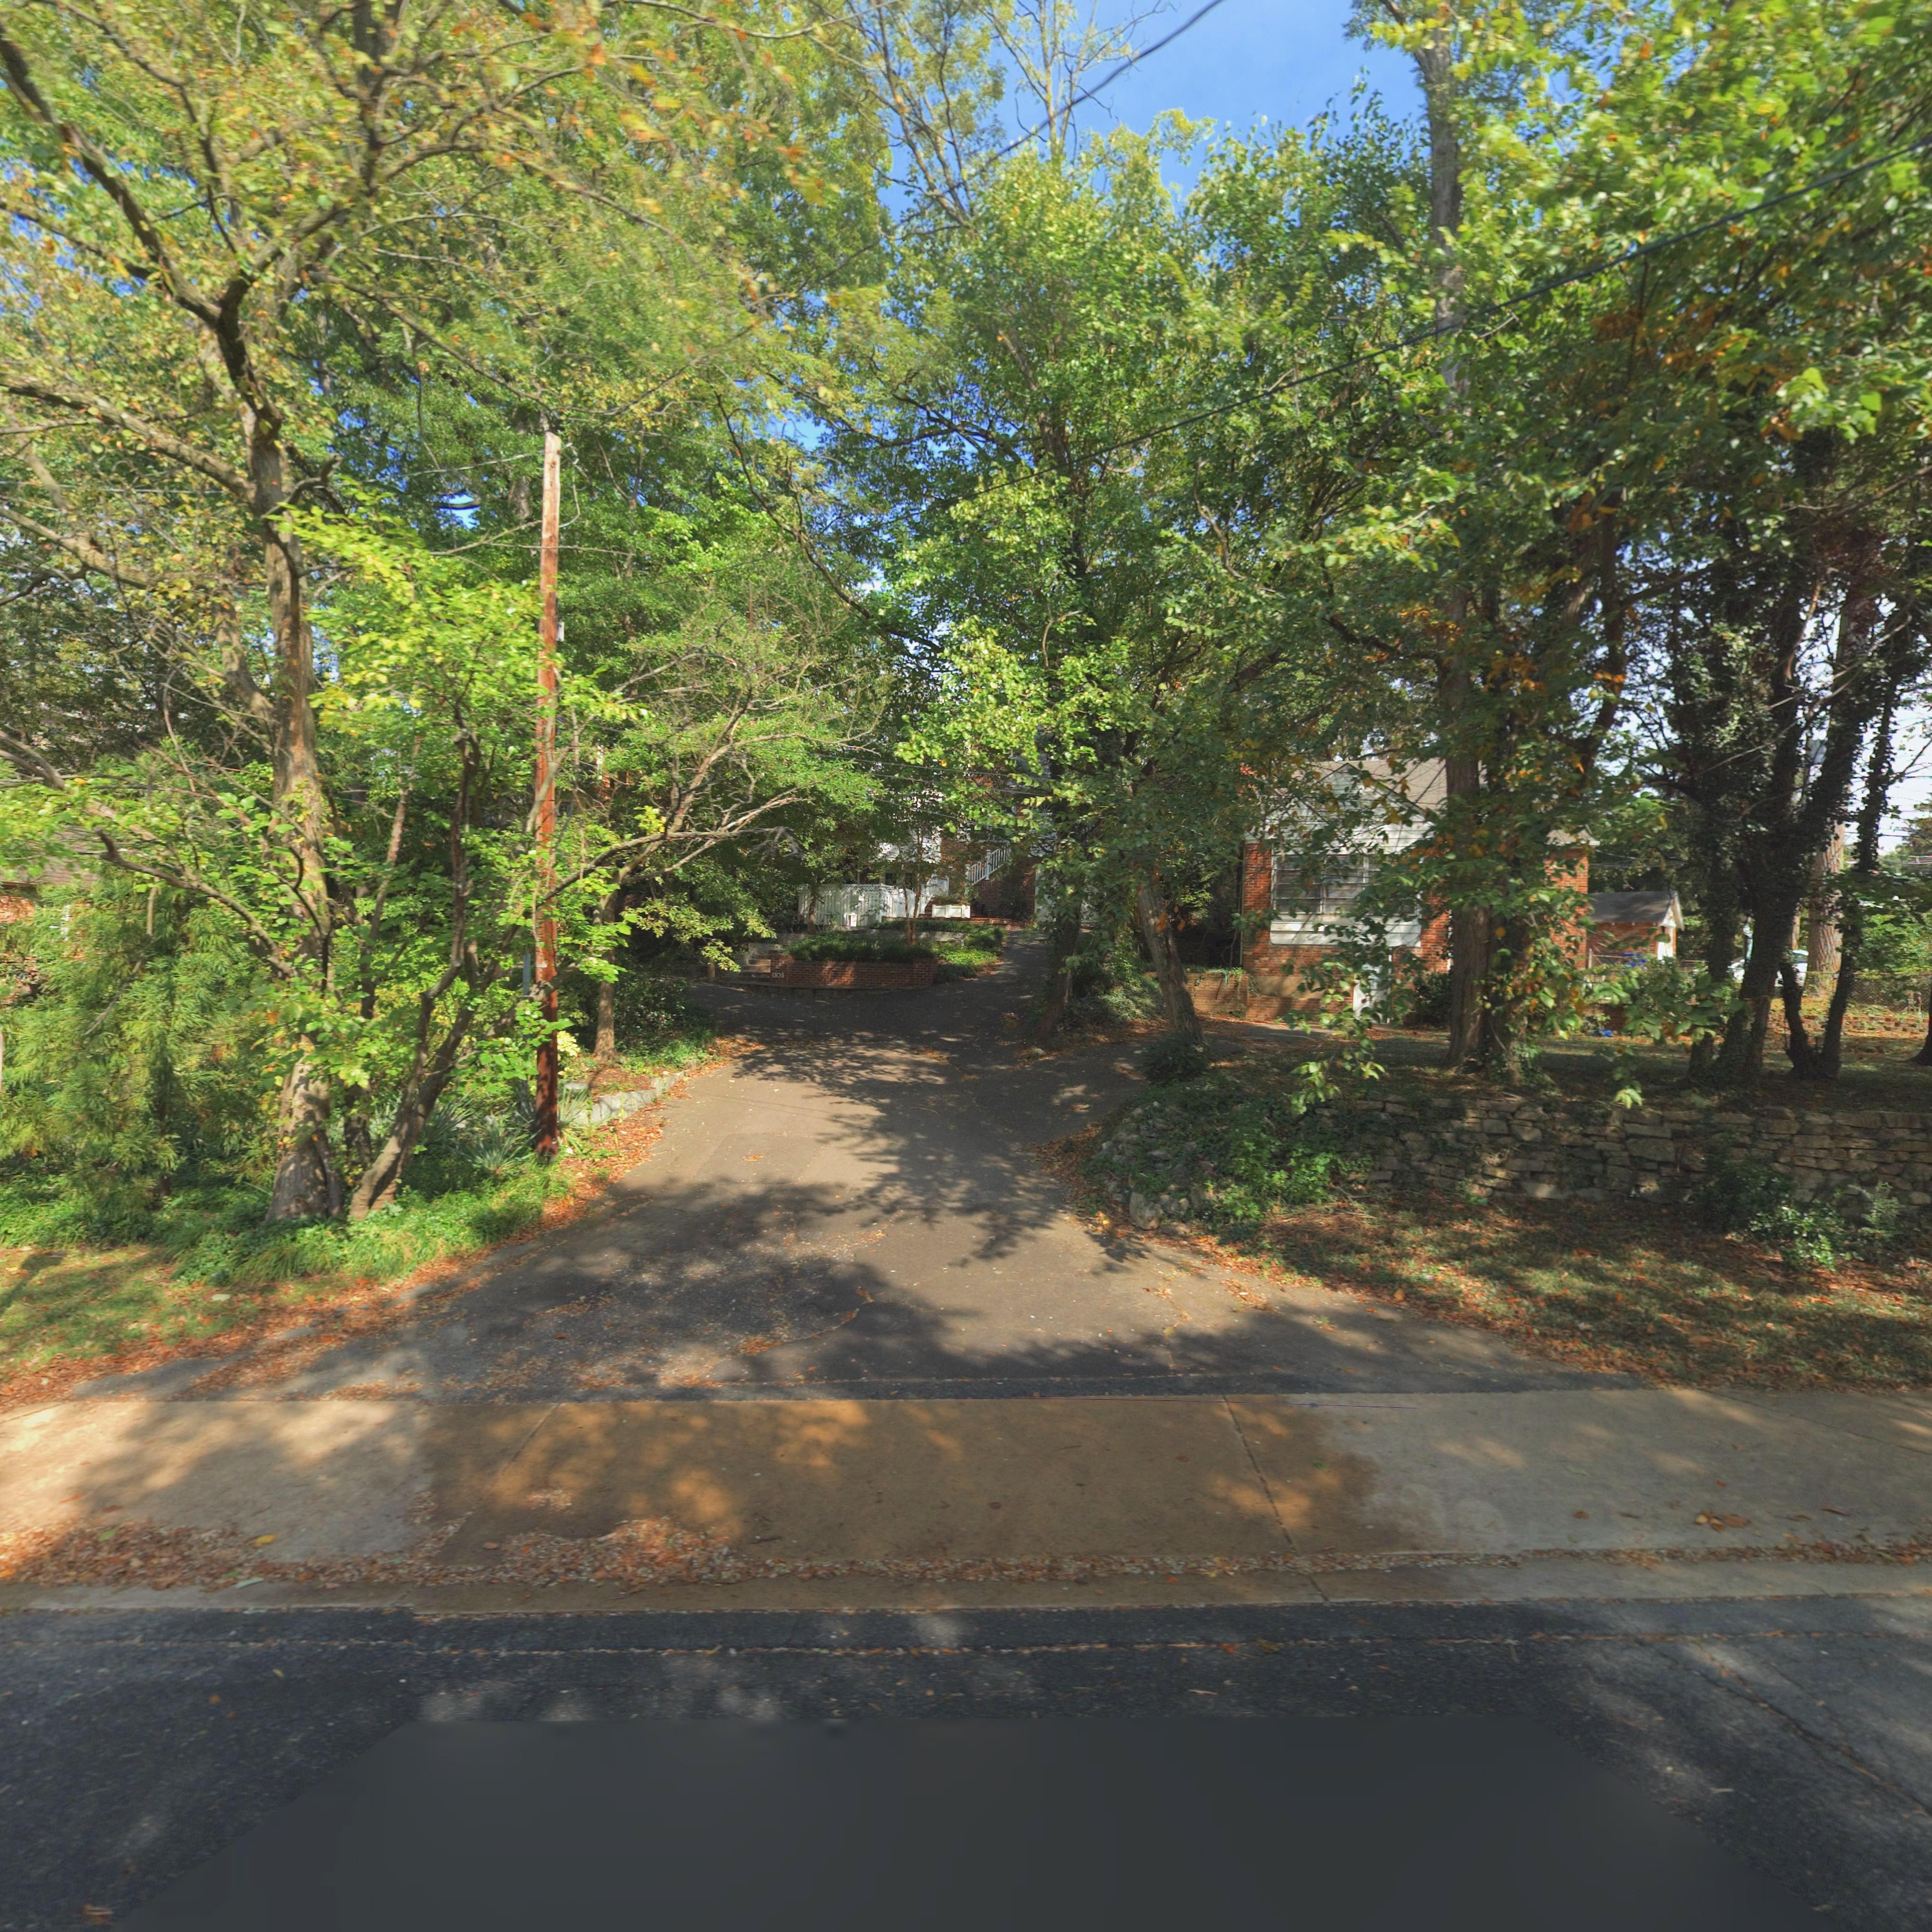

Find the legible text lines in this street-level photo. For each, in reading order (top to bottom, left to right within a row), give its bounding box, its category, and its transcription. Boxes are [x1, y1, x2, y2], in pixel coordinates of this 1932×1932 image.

[772, 972, 785, 978] StreetNumber: 1305